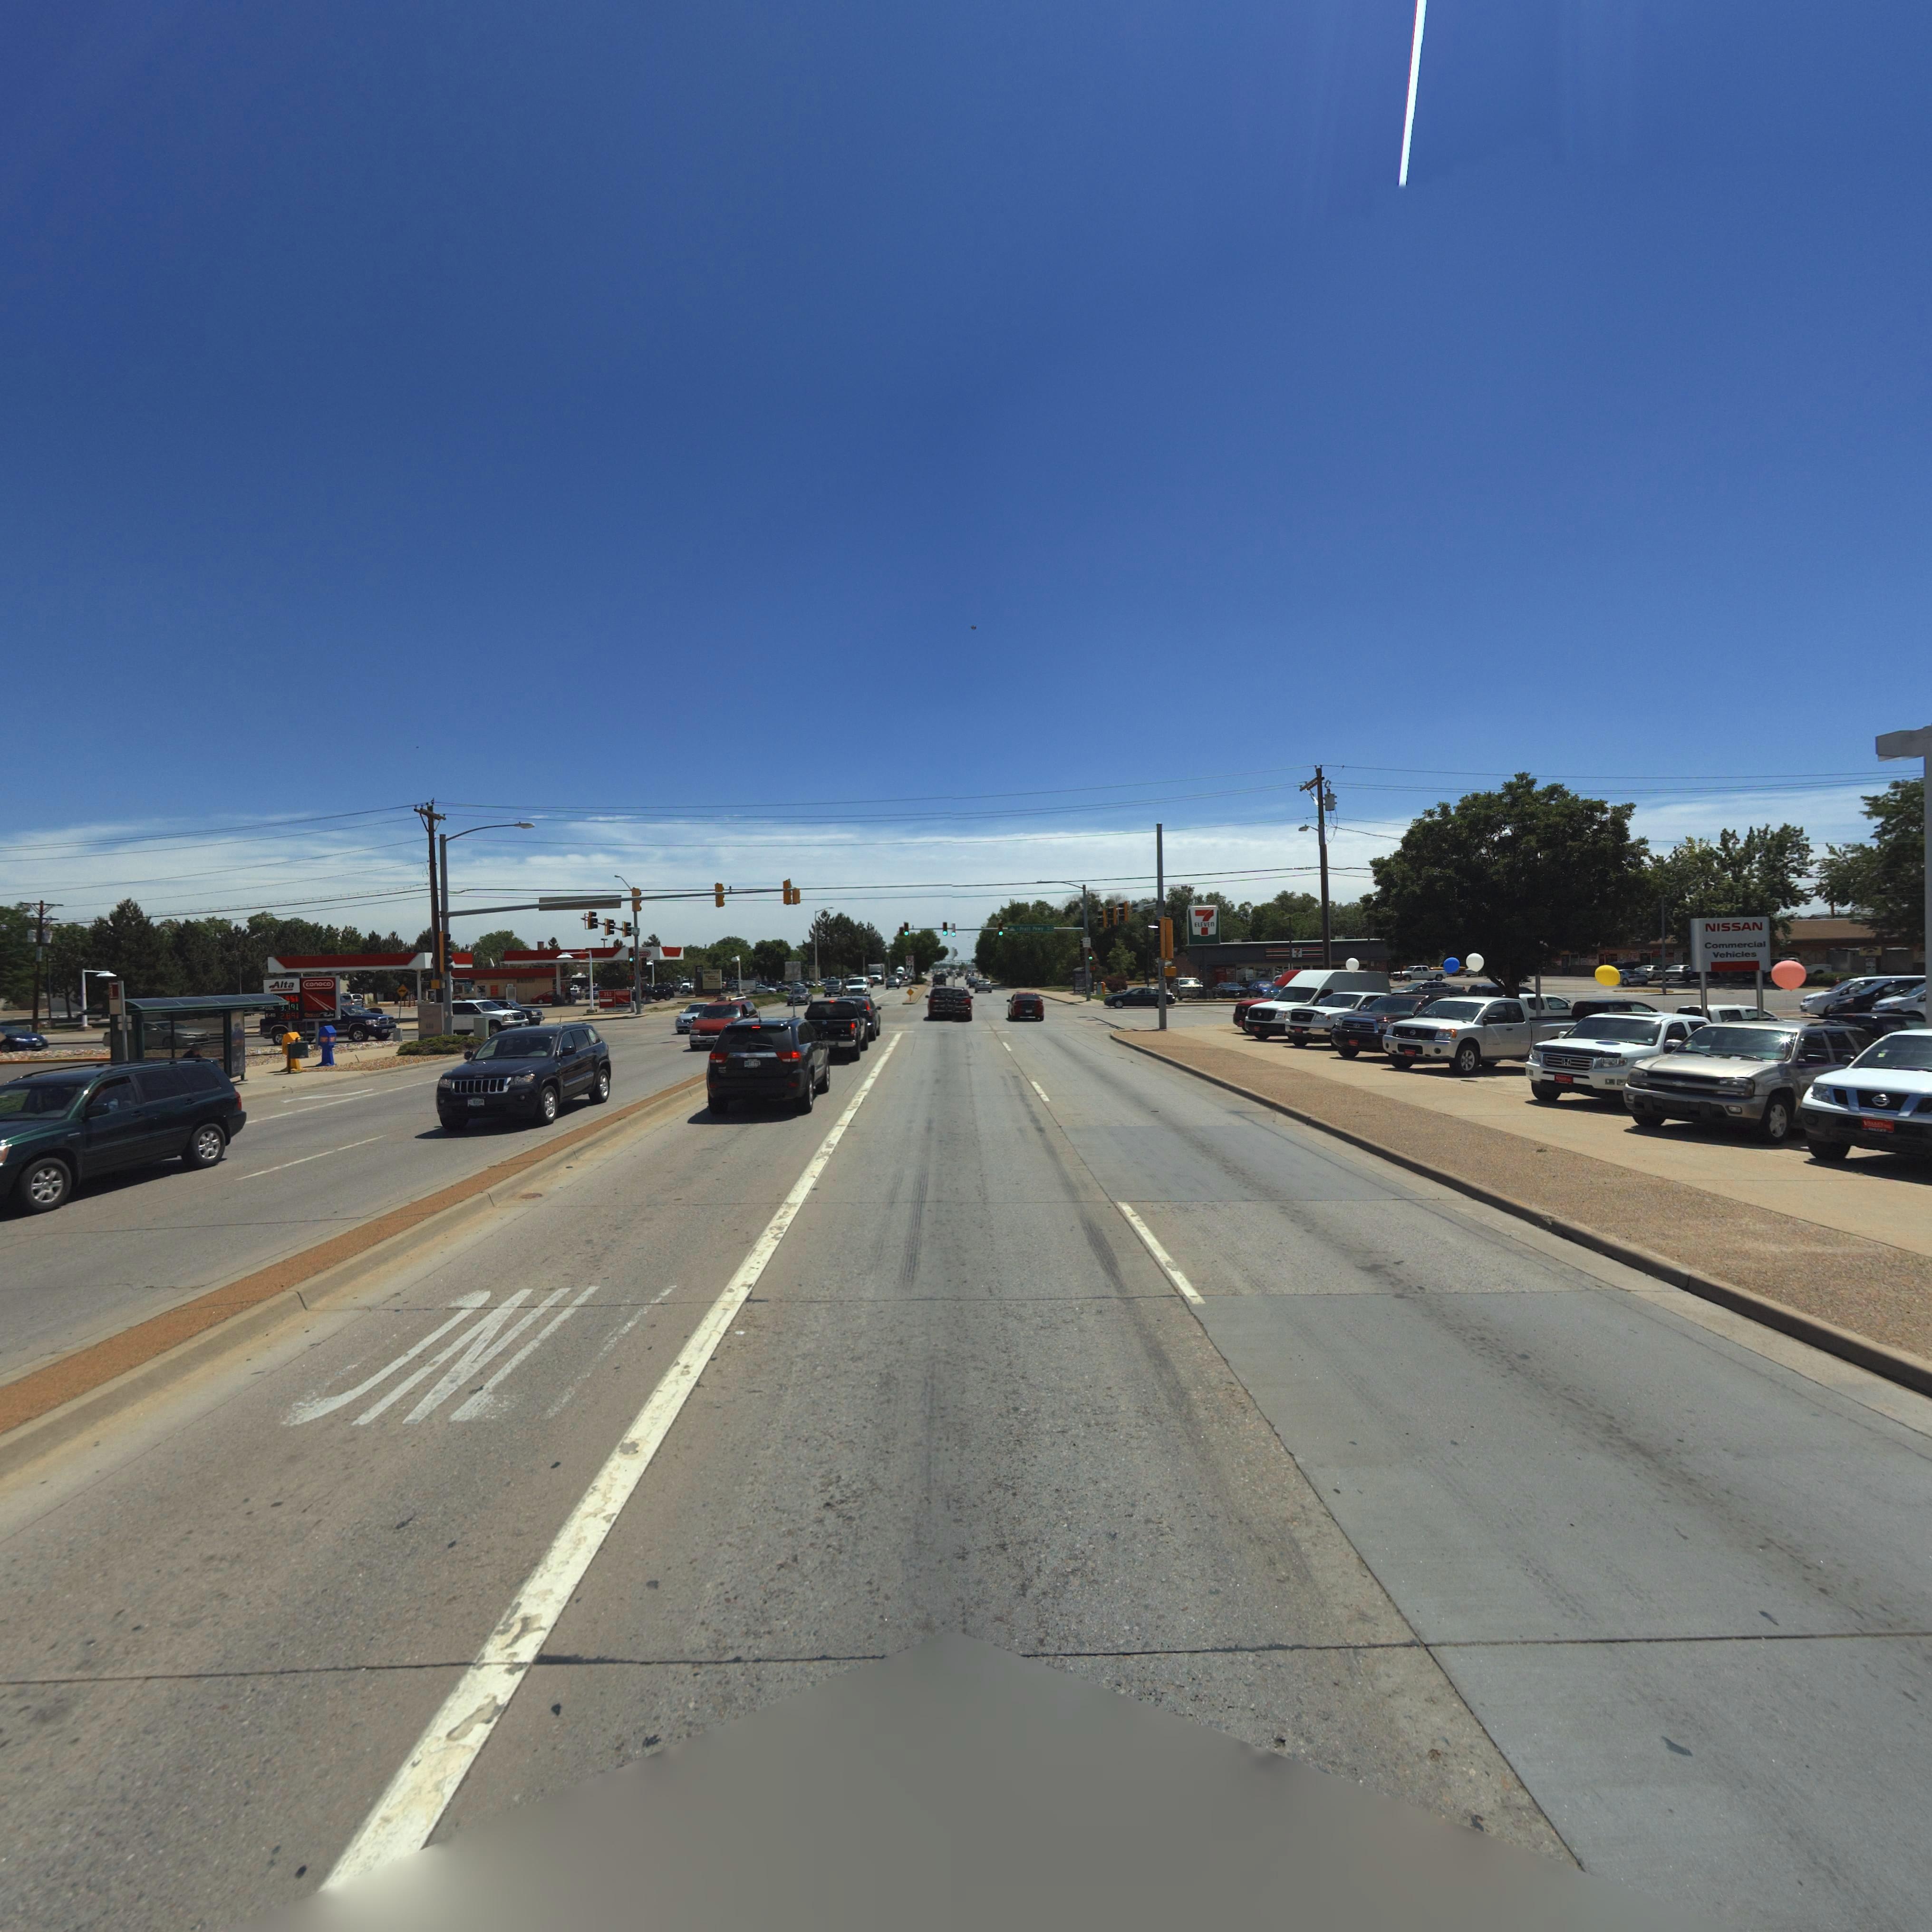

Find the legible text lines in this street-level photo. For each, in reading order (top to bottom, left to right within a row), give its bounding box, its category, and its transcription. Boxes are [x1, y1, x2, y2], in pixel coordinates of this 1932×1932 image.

[1019, 926, 1044, 932] StreetName: Pratt P**y
[1195, 909, 1214, 935] BusinessName: 7
[1194, 921, 1215, 927] BusinessName: ELEVEN
[1705, 921, 1763, 932] BusinessName: NISSAN
[1704, 940, 1766, 949] BusinessName: Commerical
[633, 952, 647, 955] BusinessName: ***oco
[1294, 948, 1300, 956] BusinessName: 7
[1712, 950, 1757, 958] BusinessName: Vehicles
[703, 970, 720, 974] BusinessName: B*G****
[271, 981, 295, 988] BusinessName: Alta
[305, 981, 331, 987] BusinessName: conoco